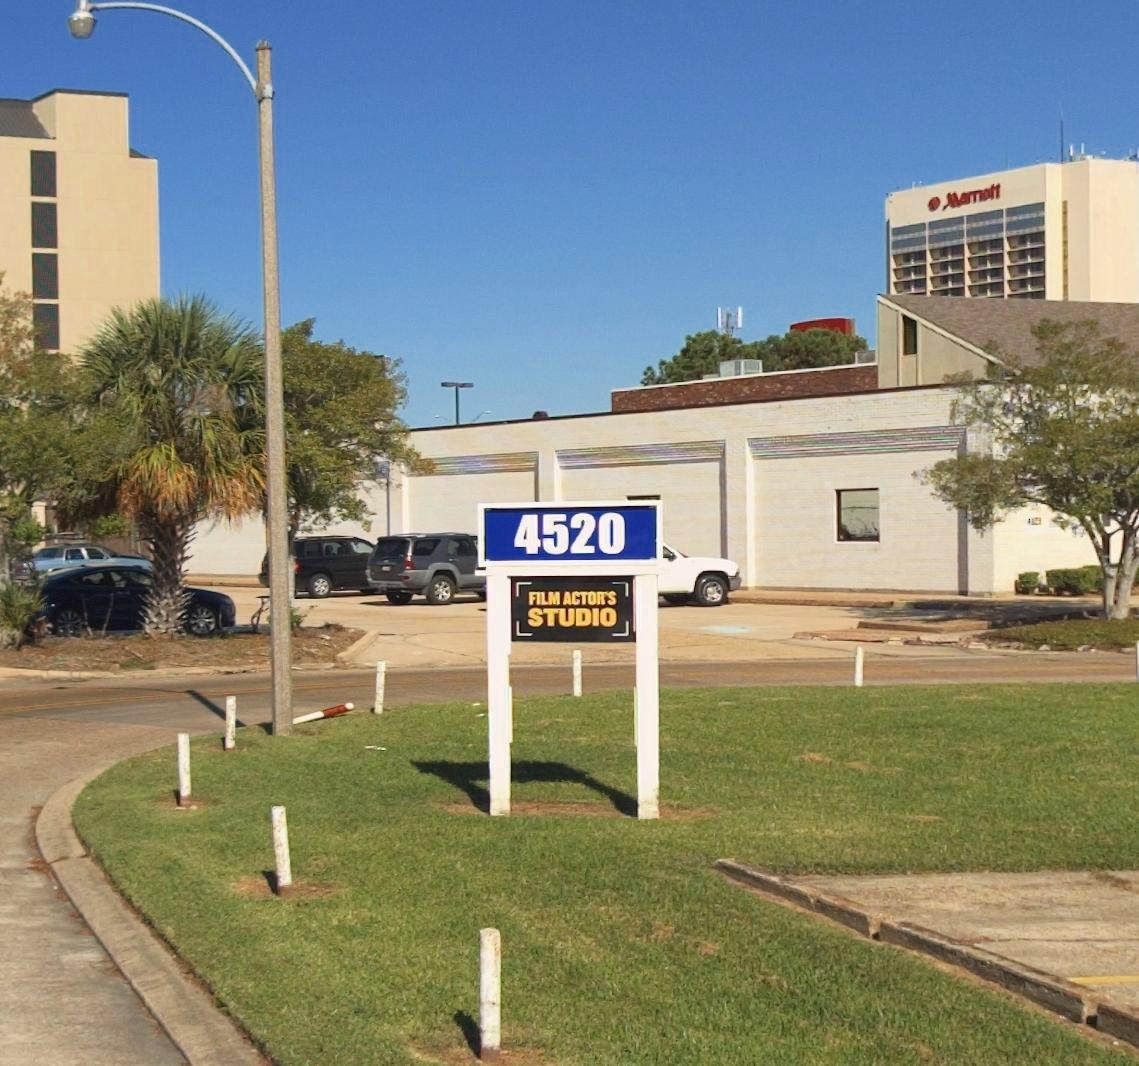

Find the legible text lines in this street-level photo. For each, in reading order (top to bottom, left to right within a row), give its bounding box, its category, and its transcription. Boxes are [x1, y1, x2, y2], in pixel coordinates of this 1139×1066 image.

[944, 179, 1004, 212] BusinessName: Marr*tt
[511, 510, 628, 557] StreetNumber: 4520
[526, 588, 621, 609] BusinessName: FILM ACTOR'S
[525, 605, 620, 630] BusinessName: STUDIO